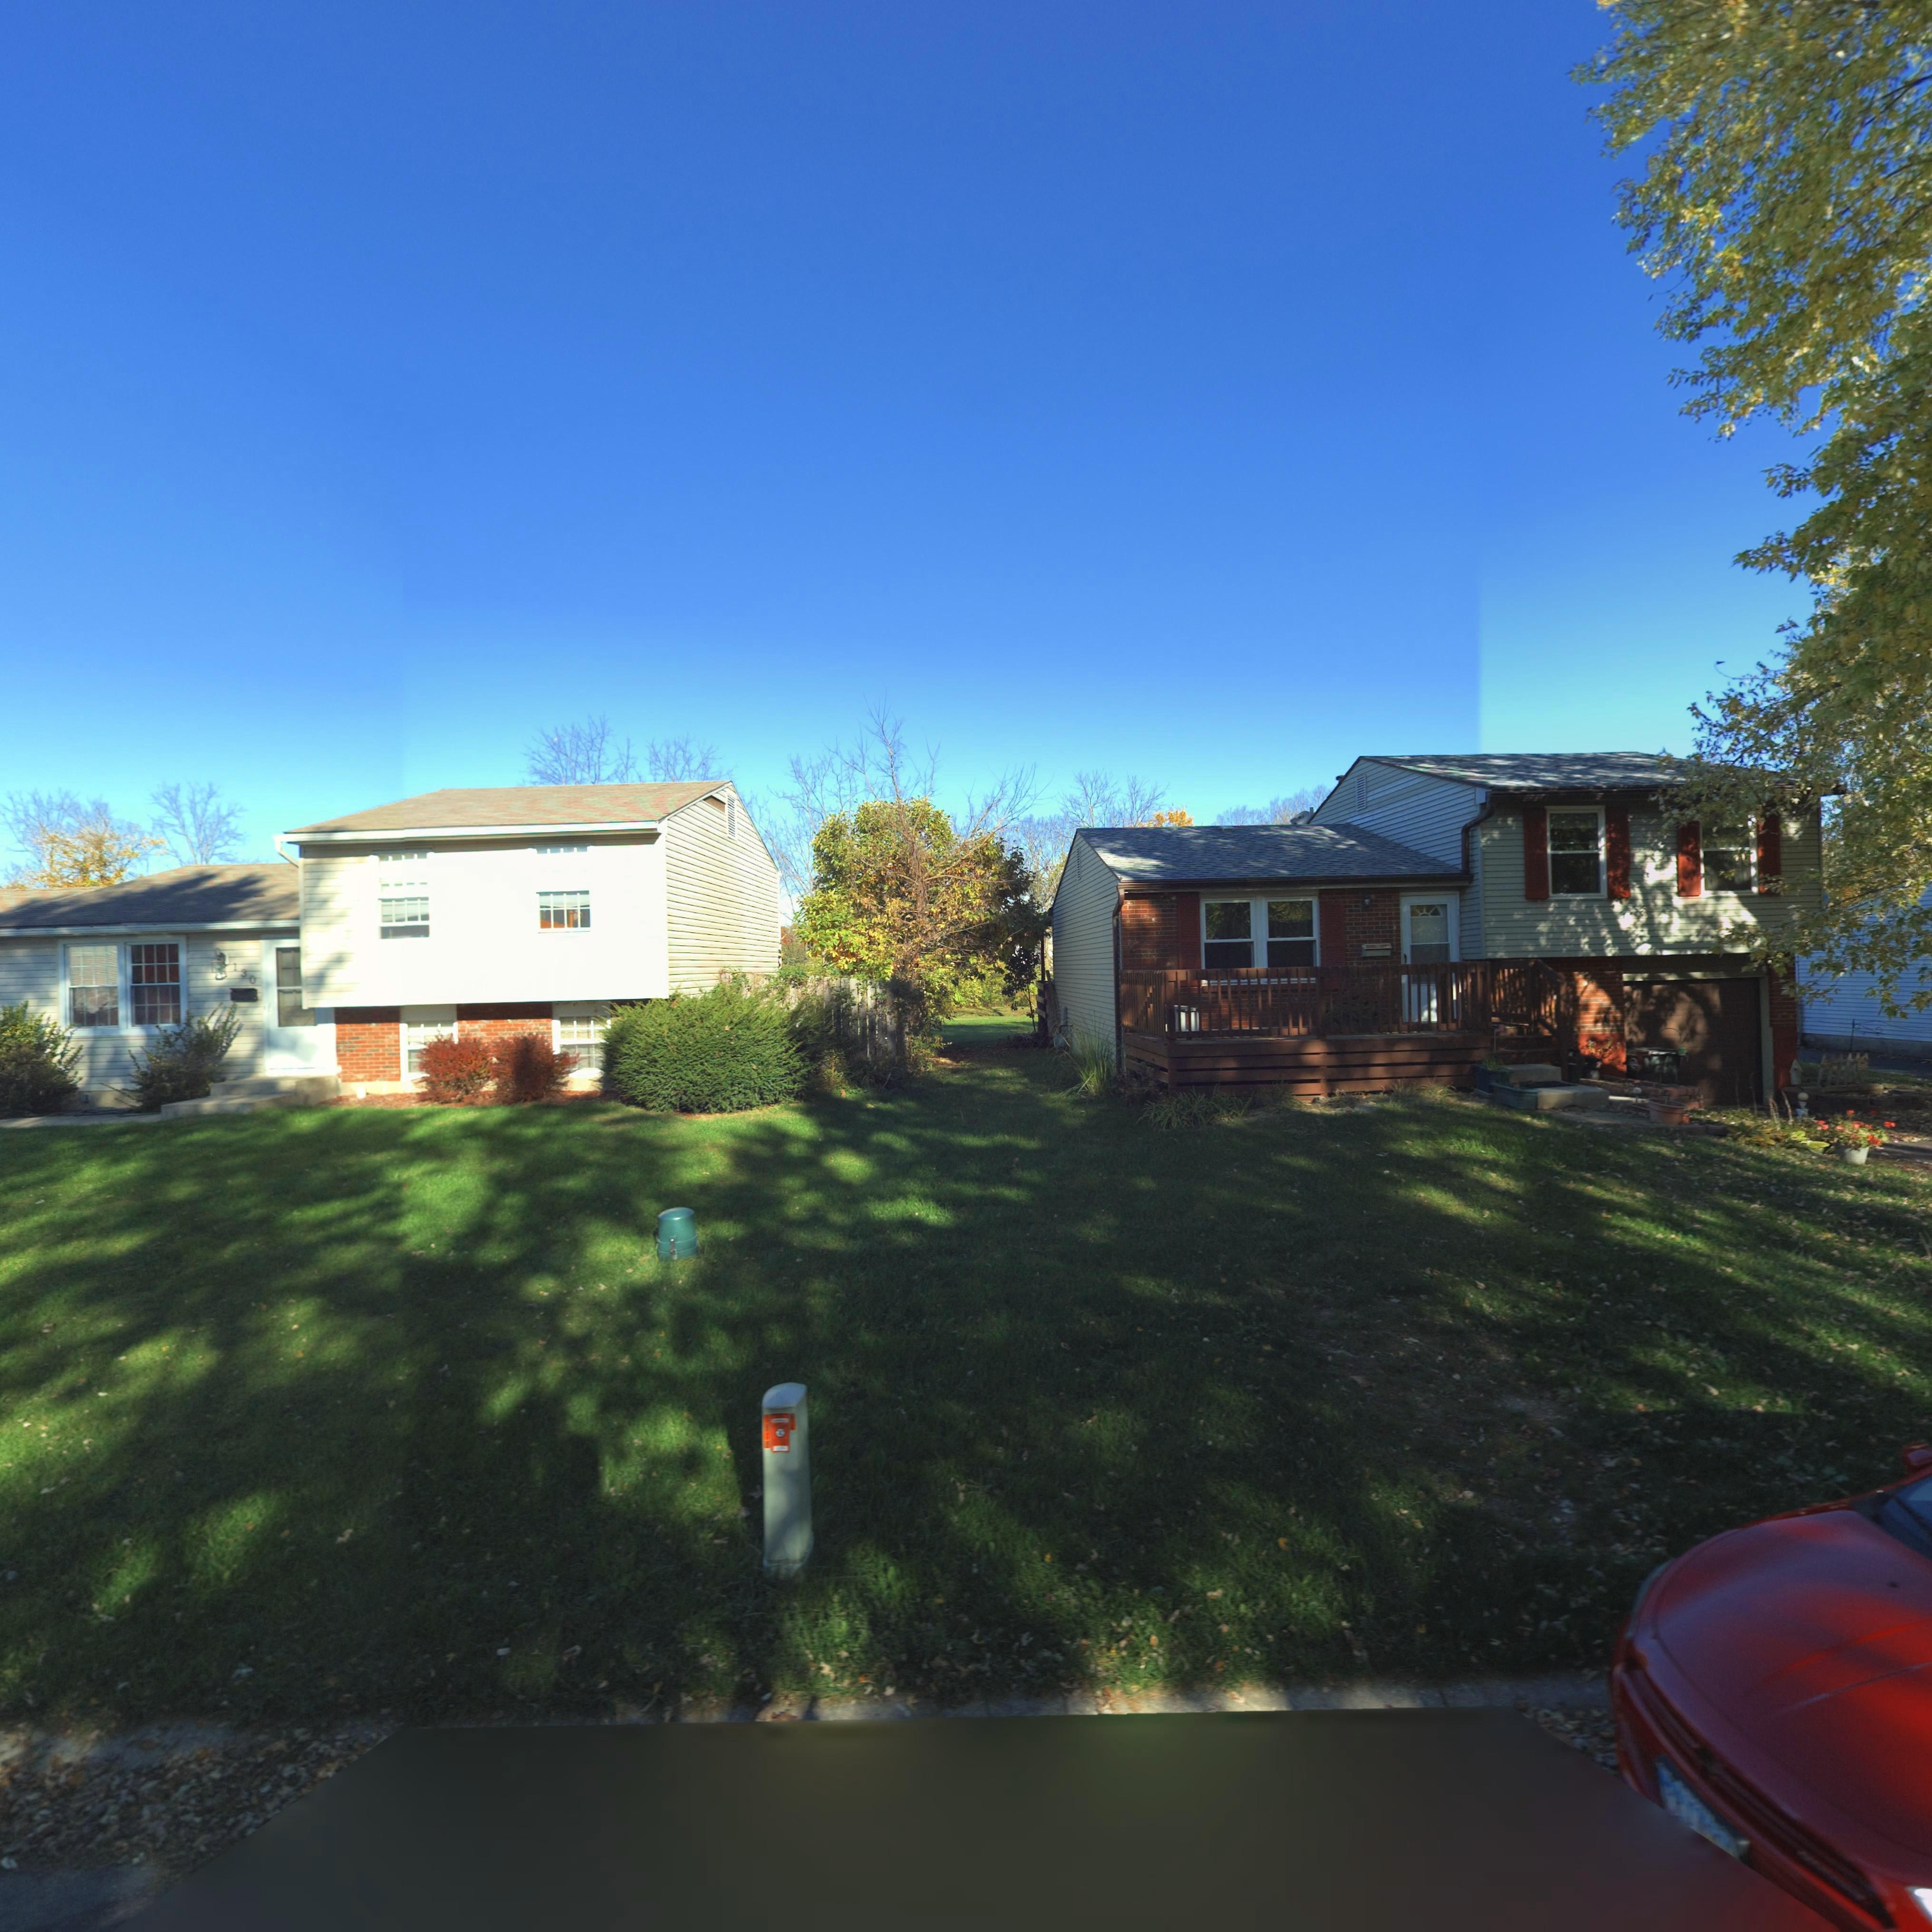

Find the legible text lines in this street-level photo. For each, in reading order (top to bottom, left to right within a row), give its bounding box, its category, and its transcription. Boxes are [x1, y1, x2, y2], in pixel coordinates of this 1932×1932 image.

[232, 961, 258, 985] StreetNumber: 130